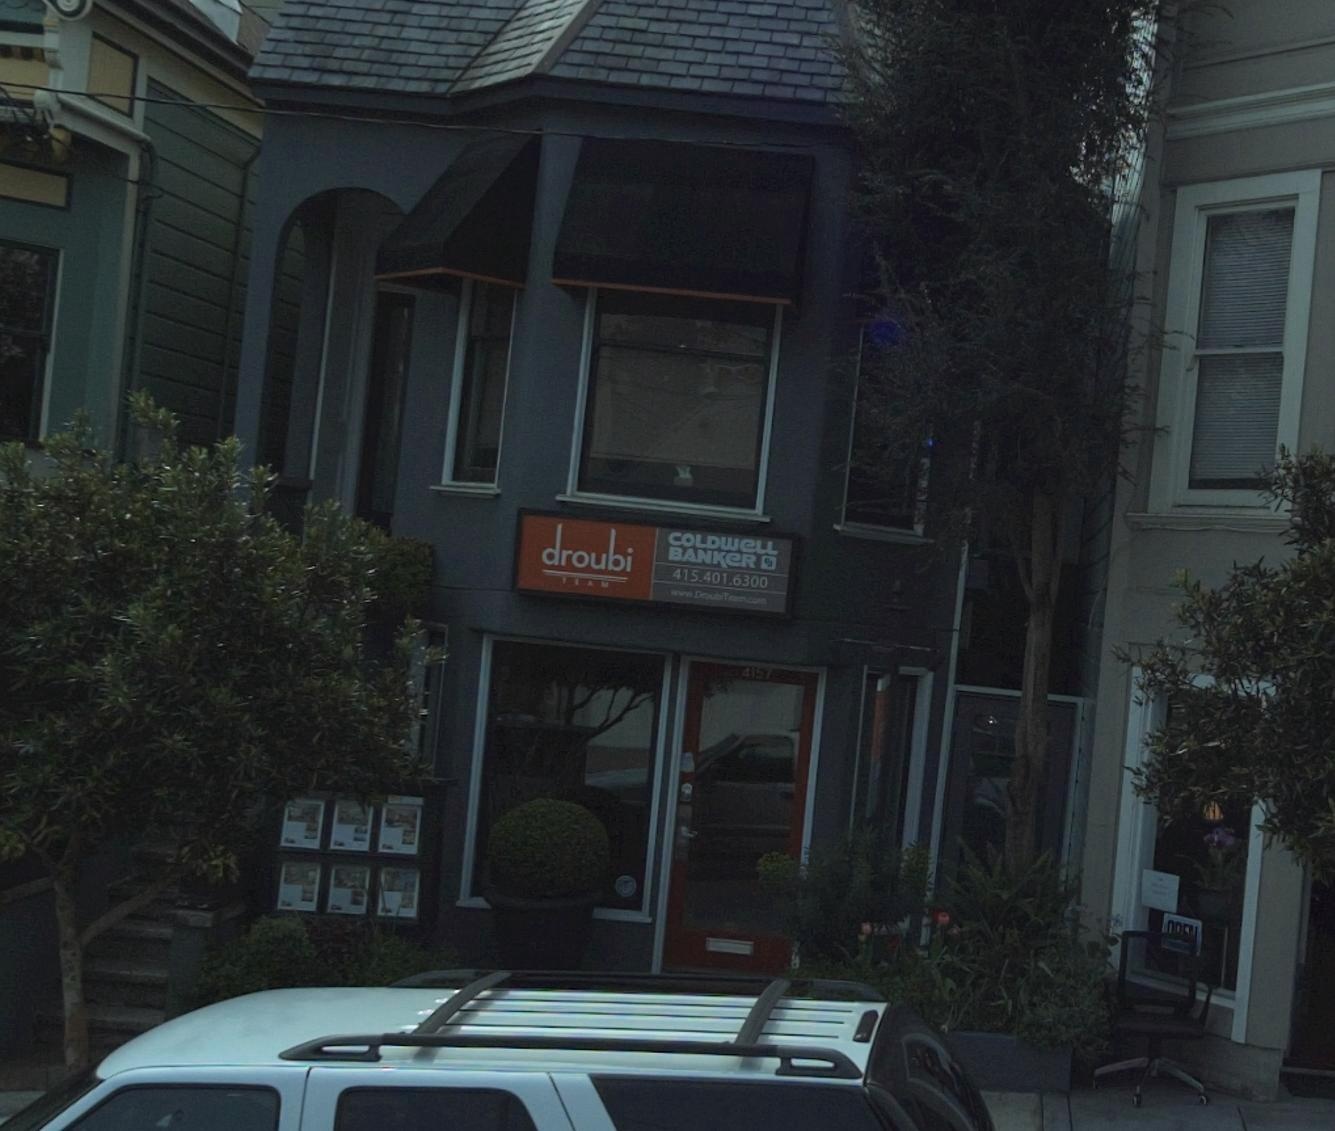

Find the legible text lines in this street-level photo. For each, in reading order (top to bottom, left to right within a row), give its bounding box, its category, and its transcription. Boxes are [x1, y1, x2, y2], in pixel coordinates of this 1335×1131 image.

[535, 520, 637, 575] BusinessName: droubi
[667, 545, 758, 570] BusinessName: BANKER
[666, 529, 780, 557] BusinessName: COLDWELL
[560, 576, 611, 590] BusinessName: TEAM
[671, 567, 769, 590] None: 415.401.6300
[741, 665, 774, 681] StreetNumber: 4157